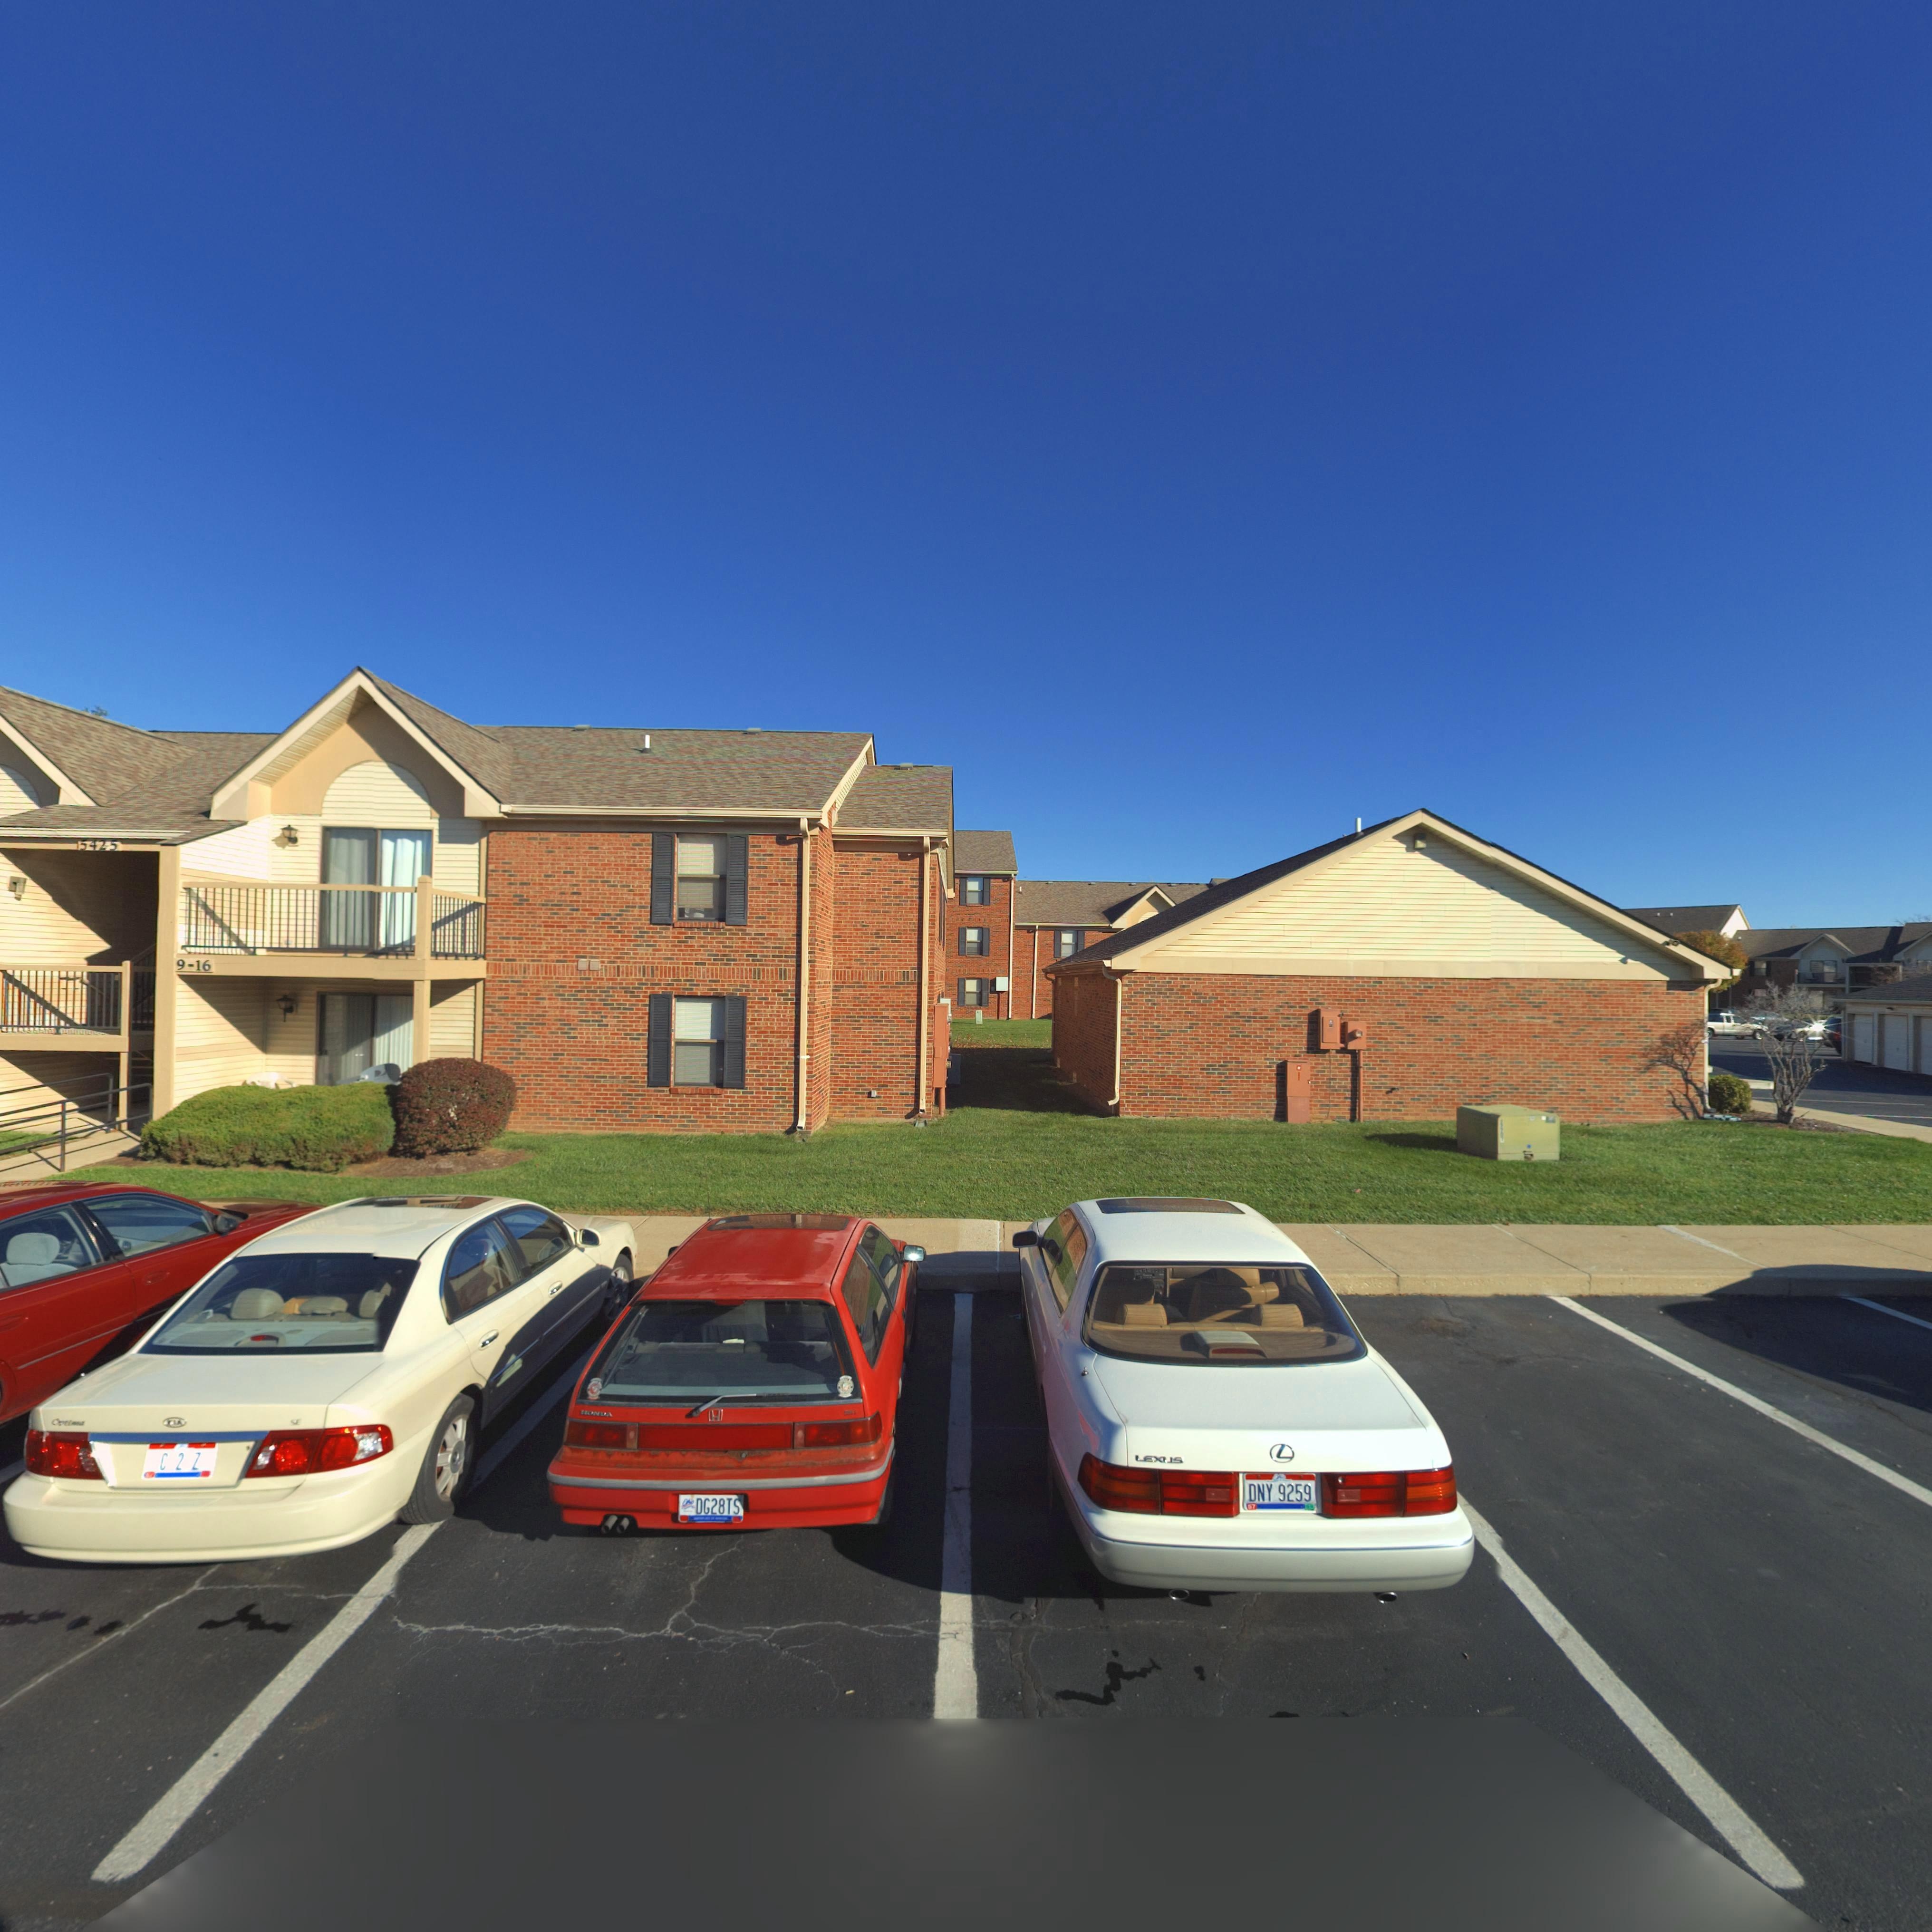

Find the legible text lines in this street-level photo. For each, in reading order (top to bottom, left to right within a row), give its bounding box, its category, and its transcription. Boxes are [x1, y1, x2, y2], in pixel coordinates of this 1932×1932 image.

[78, 838, 118, 850] StreetNumber: 5425
[176, 958, 212, 971] StreetNumber: 9-16